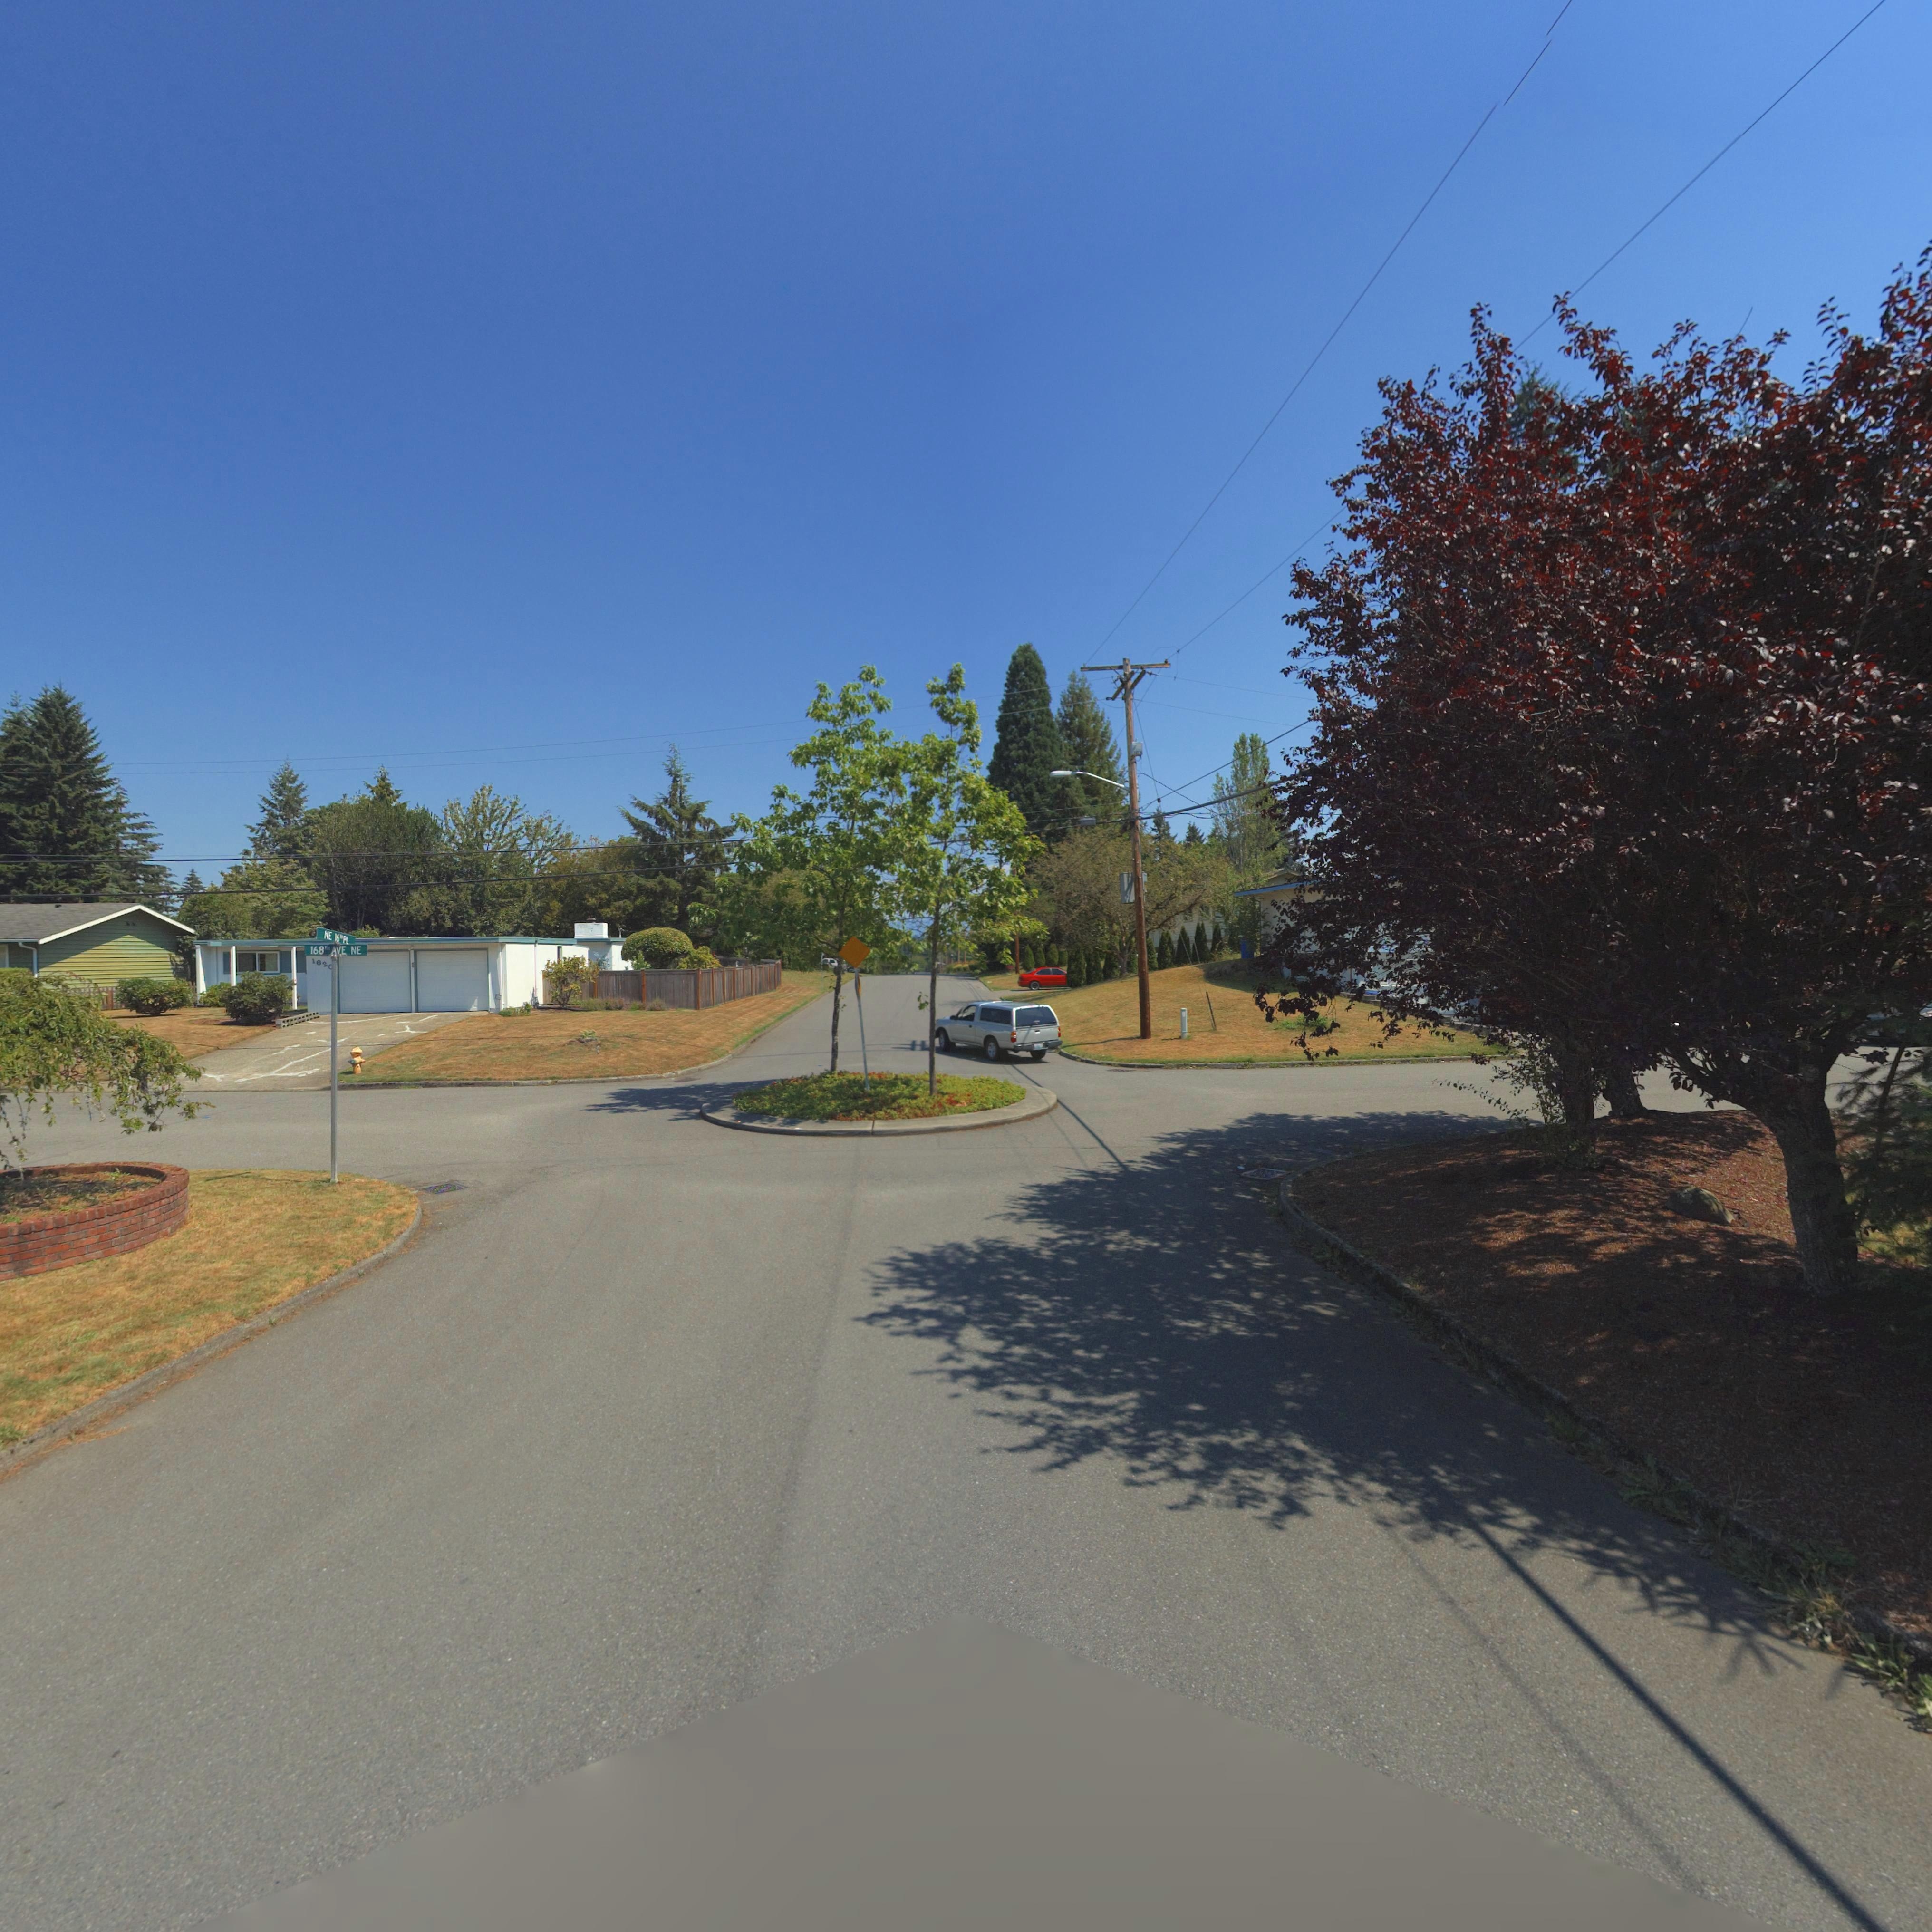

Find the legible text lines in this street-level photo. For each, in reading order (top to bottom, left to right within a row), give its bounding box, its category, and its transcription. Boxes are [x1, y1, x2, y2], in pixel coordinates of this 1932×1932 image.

[323, 930, 349, 945] StreetName: NE 16** PL
[310, 946, 362, 955] StreetName: 168** AVE NE
[311, 958, 332, 970] StreetNumber: 162*